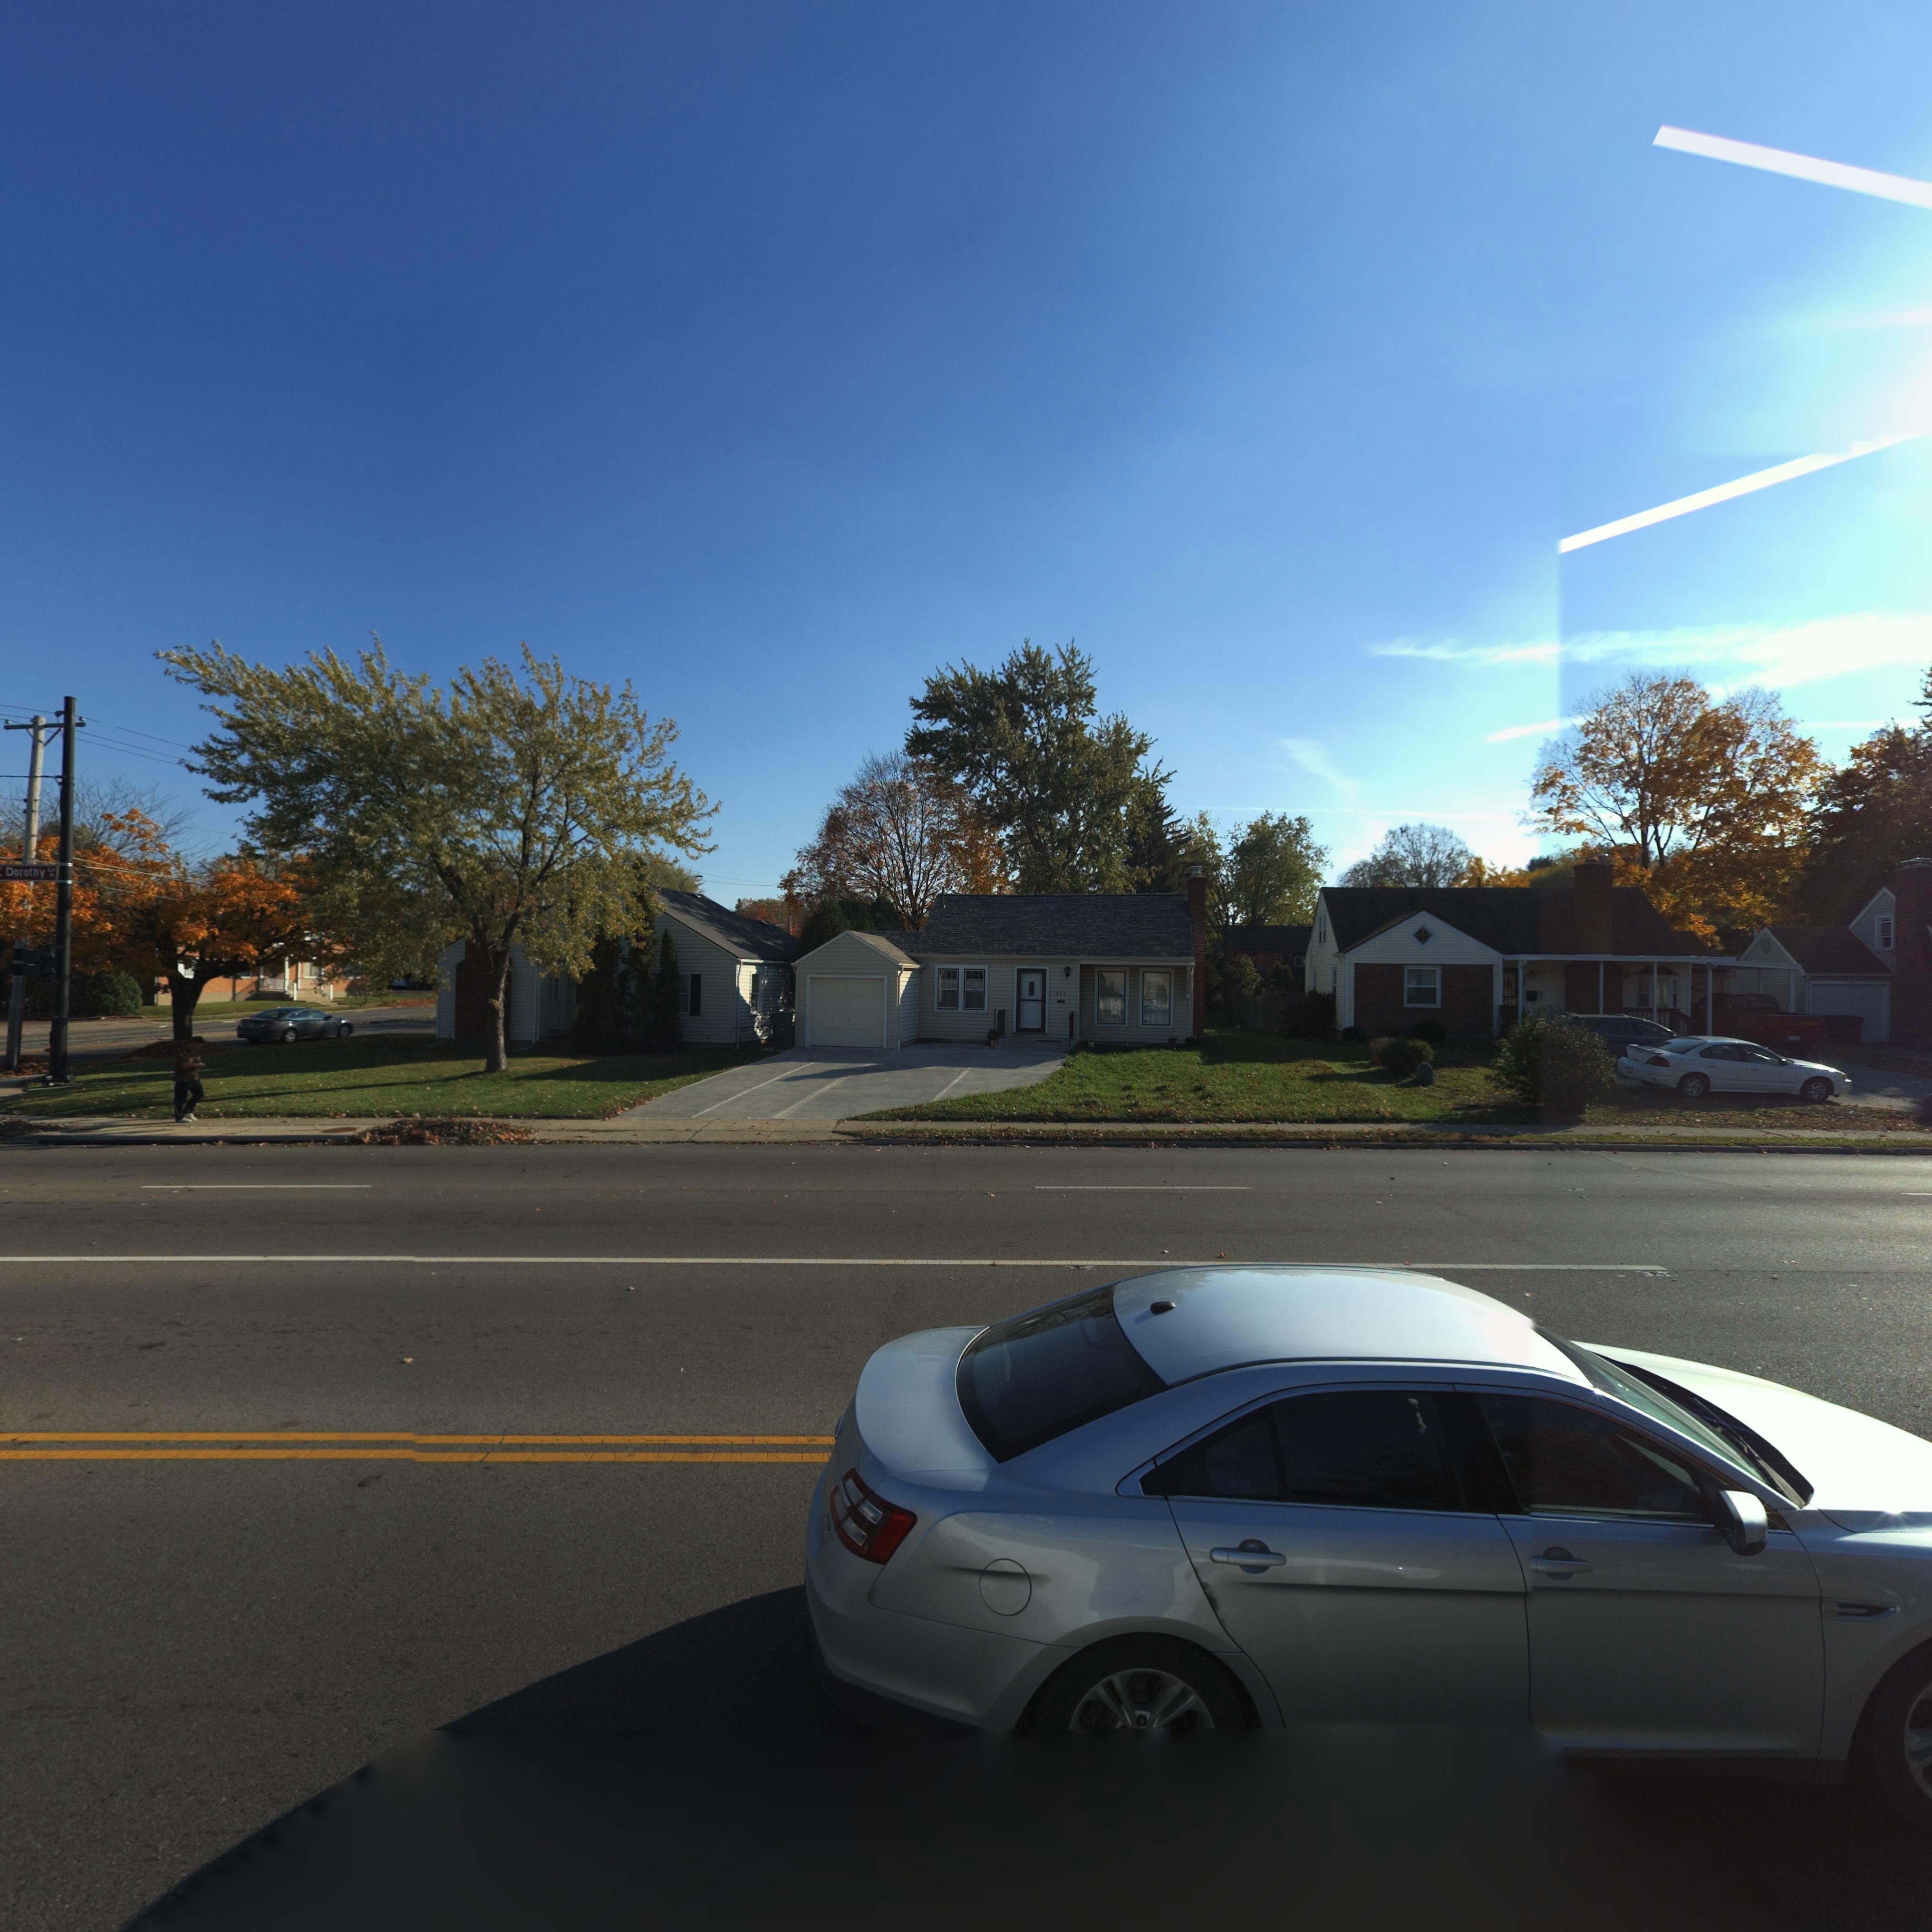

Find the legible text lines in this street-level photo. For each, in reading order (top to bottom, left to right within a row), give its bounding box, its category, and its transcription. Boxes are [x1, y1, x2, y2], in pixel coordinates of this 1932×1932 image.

[5, 866, 56, 880] StreetName: Dorothy Ln
[1055, 991, 1066, 996] StreetNumber: 4*6